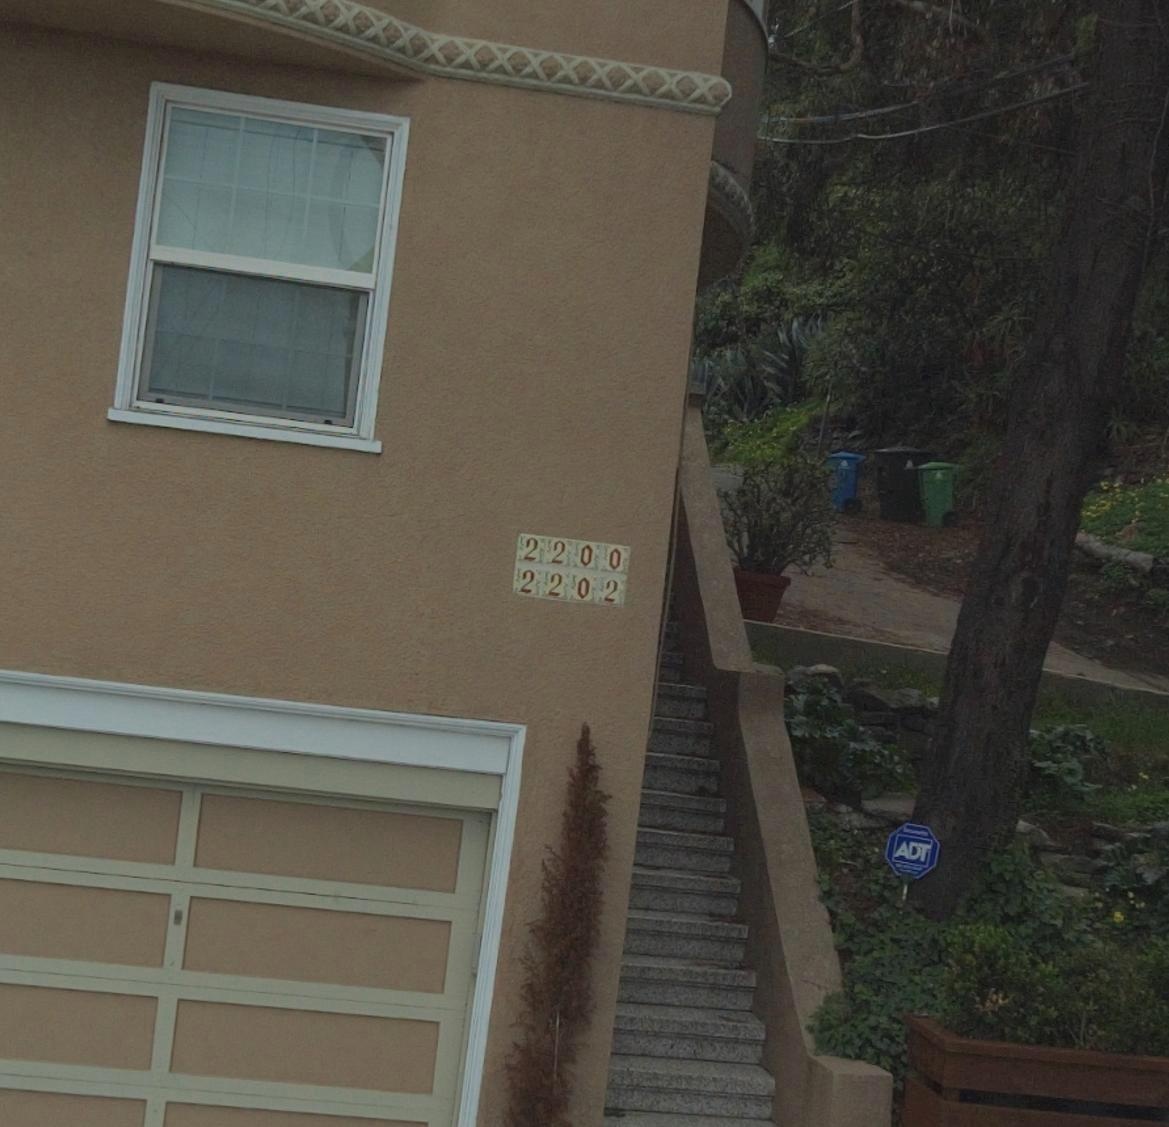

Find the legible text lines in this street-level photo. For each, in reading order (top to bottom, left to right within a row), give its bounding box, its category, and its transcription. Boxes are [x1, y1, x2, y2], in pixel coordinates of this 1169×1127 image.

[519, 534, 625, 571] StreetNumber: 2200
[517, 564, 621, 606] StreetNumber: 2202
[891, 838, 933, 865] None: ADT